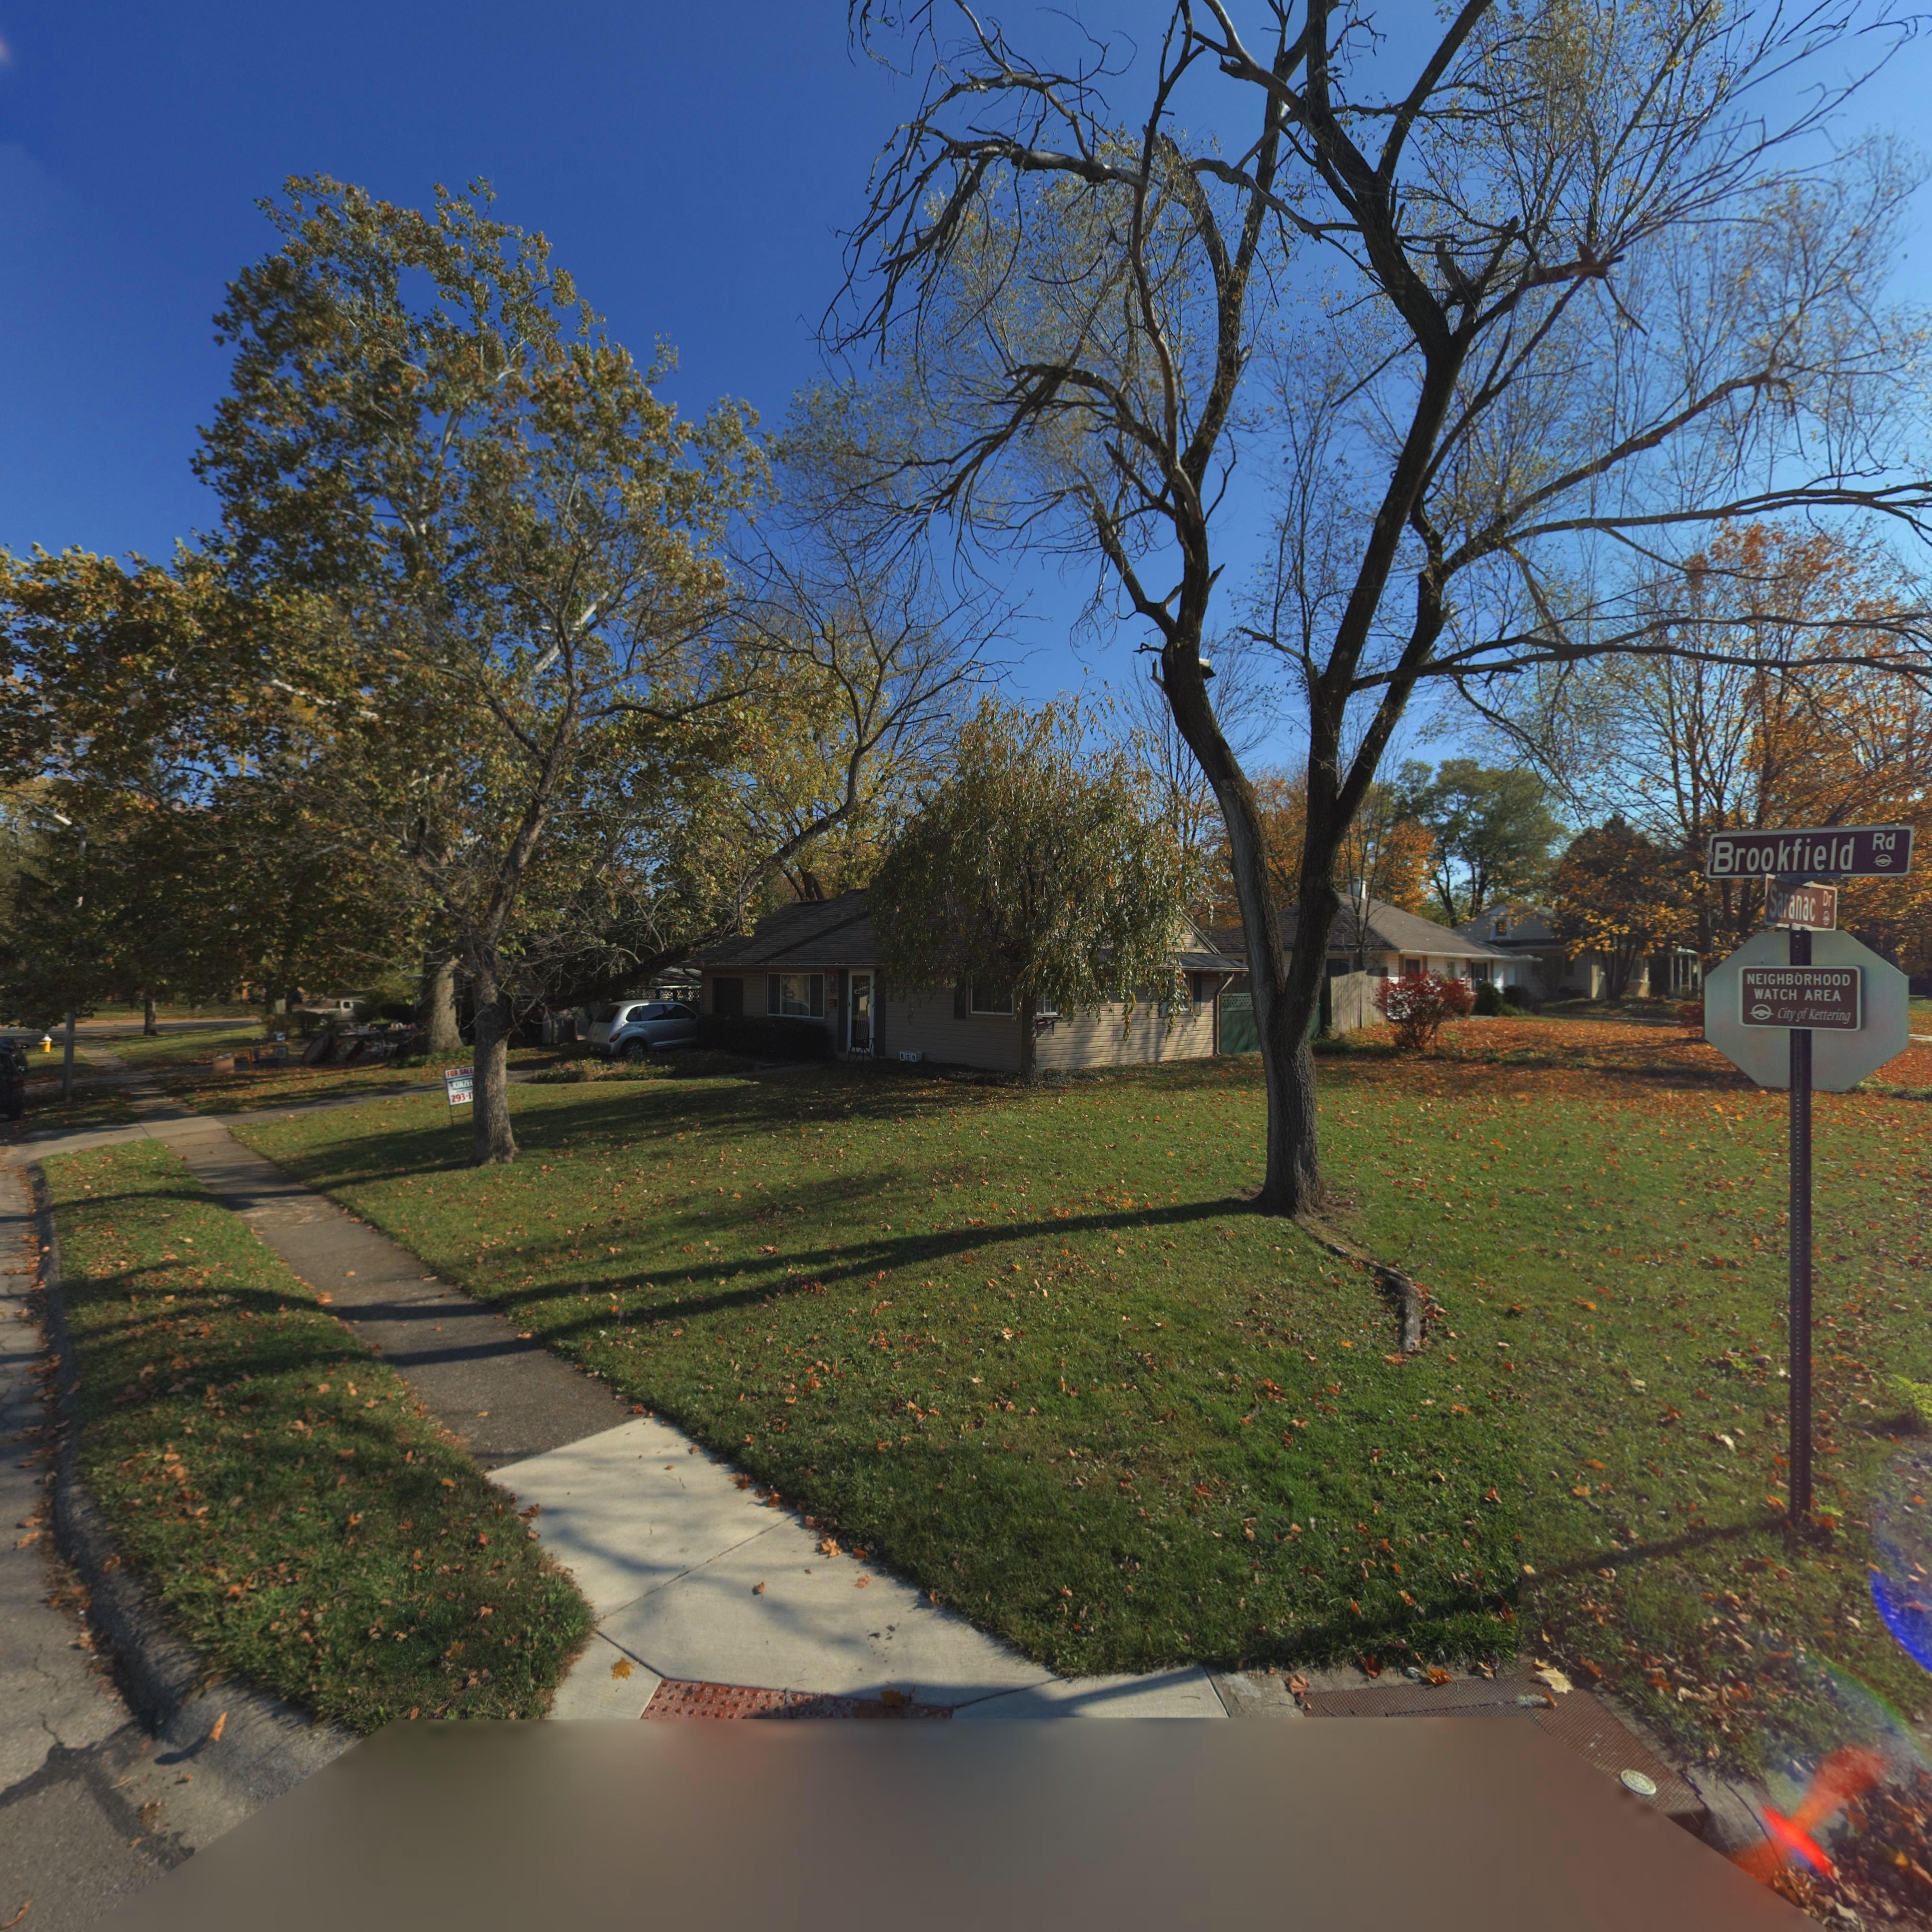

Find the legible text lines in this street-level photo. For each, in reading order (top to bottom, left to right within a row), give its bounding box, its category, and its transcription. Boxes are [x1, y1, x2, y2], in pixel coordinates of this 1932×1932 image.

[1713, 831, 1896, 873] StreetName: Brookfield Rd
[1768, 883, 1833, 923] StreetName: Saranac Dr
[1746, 973, 1852, 987] None: NEIGHBORHOOD
[830, 988, 838, 994] StreetNumber: 850
[1752, 987, 1842, 1002] None: WATCH AREA
[1777, 1006, 1852, 1025] None: City of Kettering
[900, 1053, 916, 1062] StreetNumber: 850
[447, 1067, 474, 1078] None: FOR SALE
[452, 1078, 474, 1090] None: KINZEL
[451, 1092, 472, 1103] None: 293-1